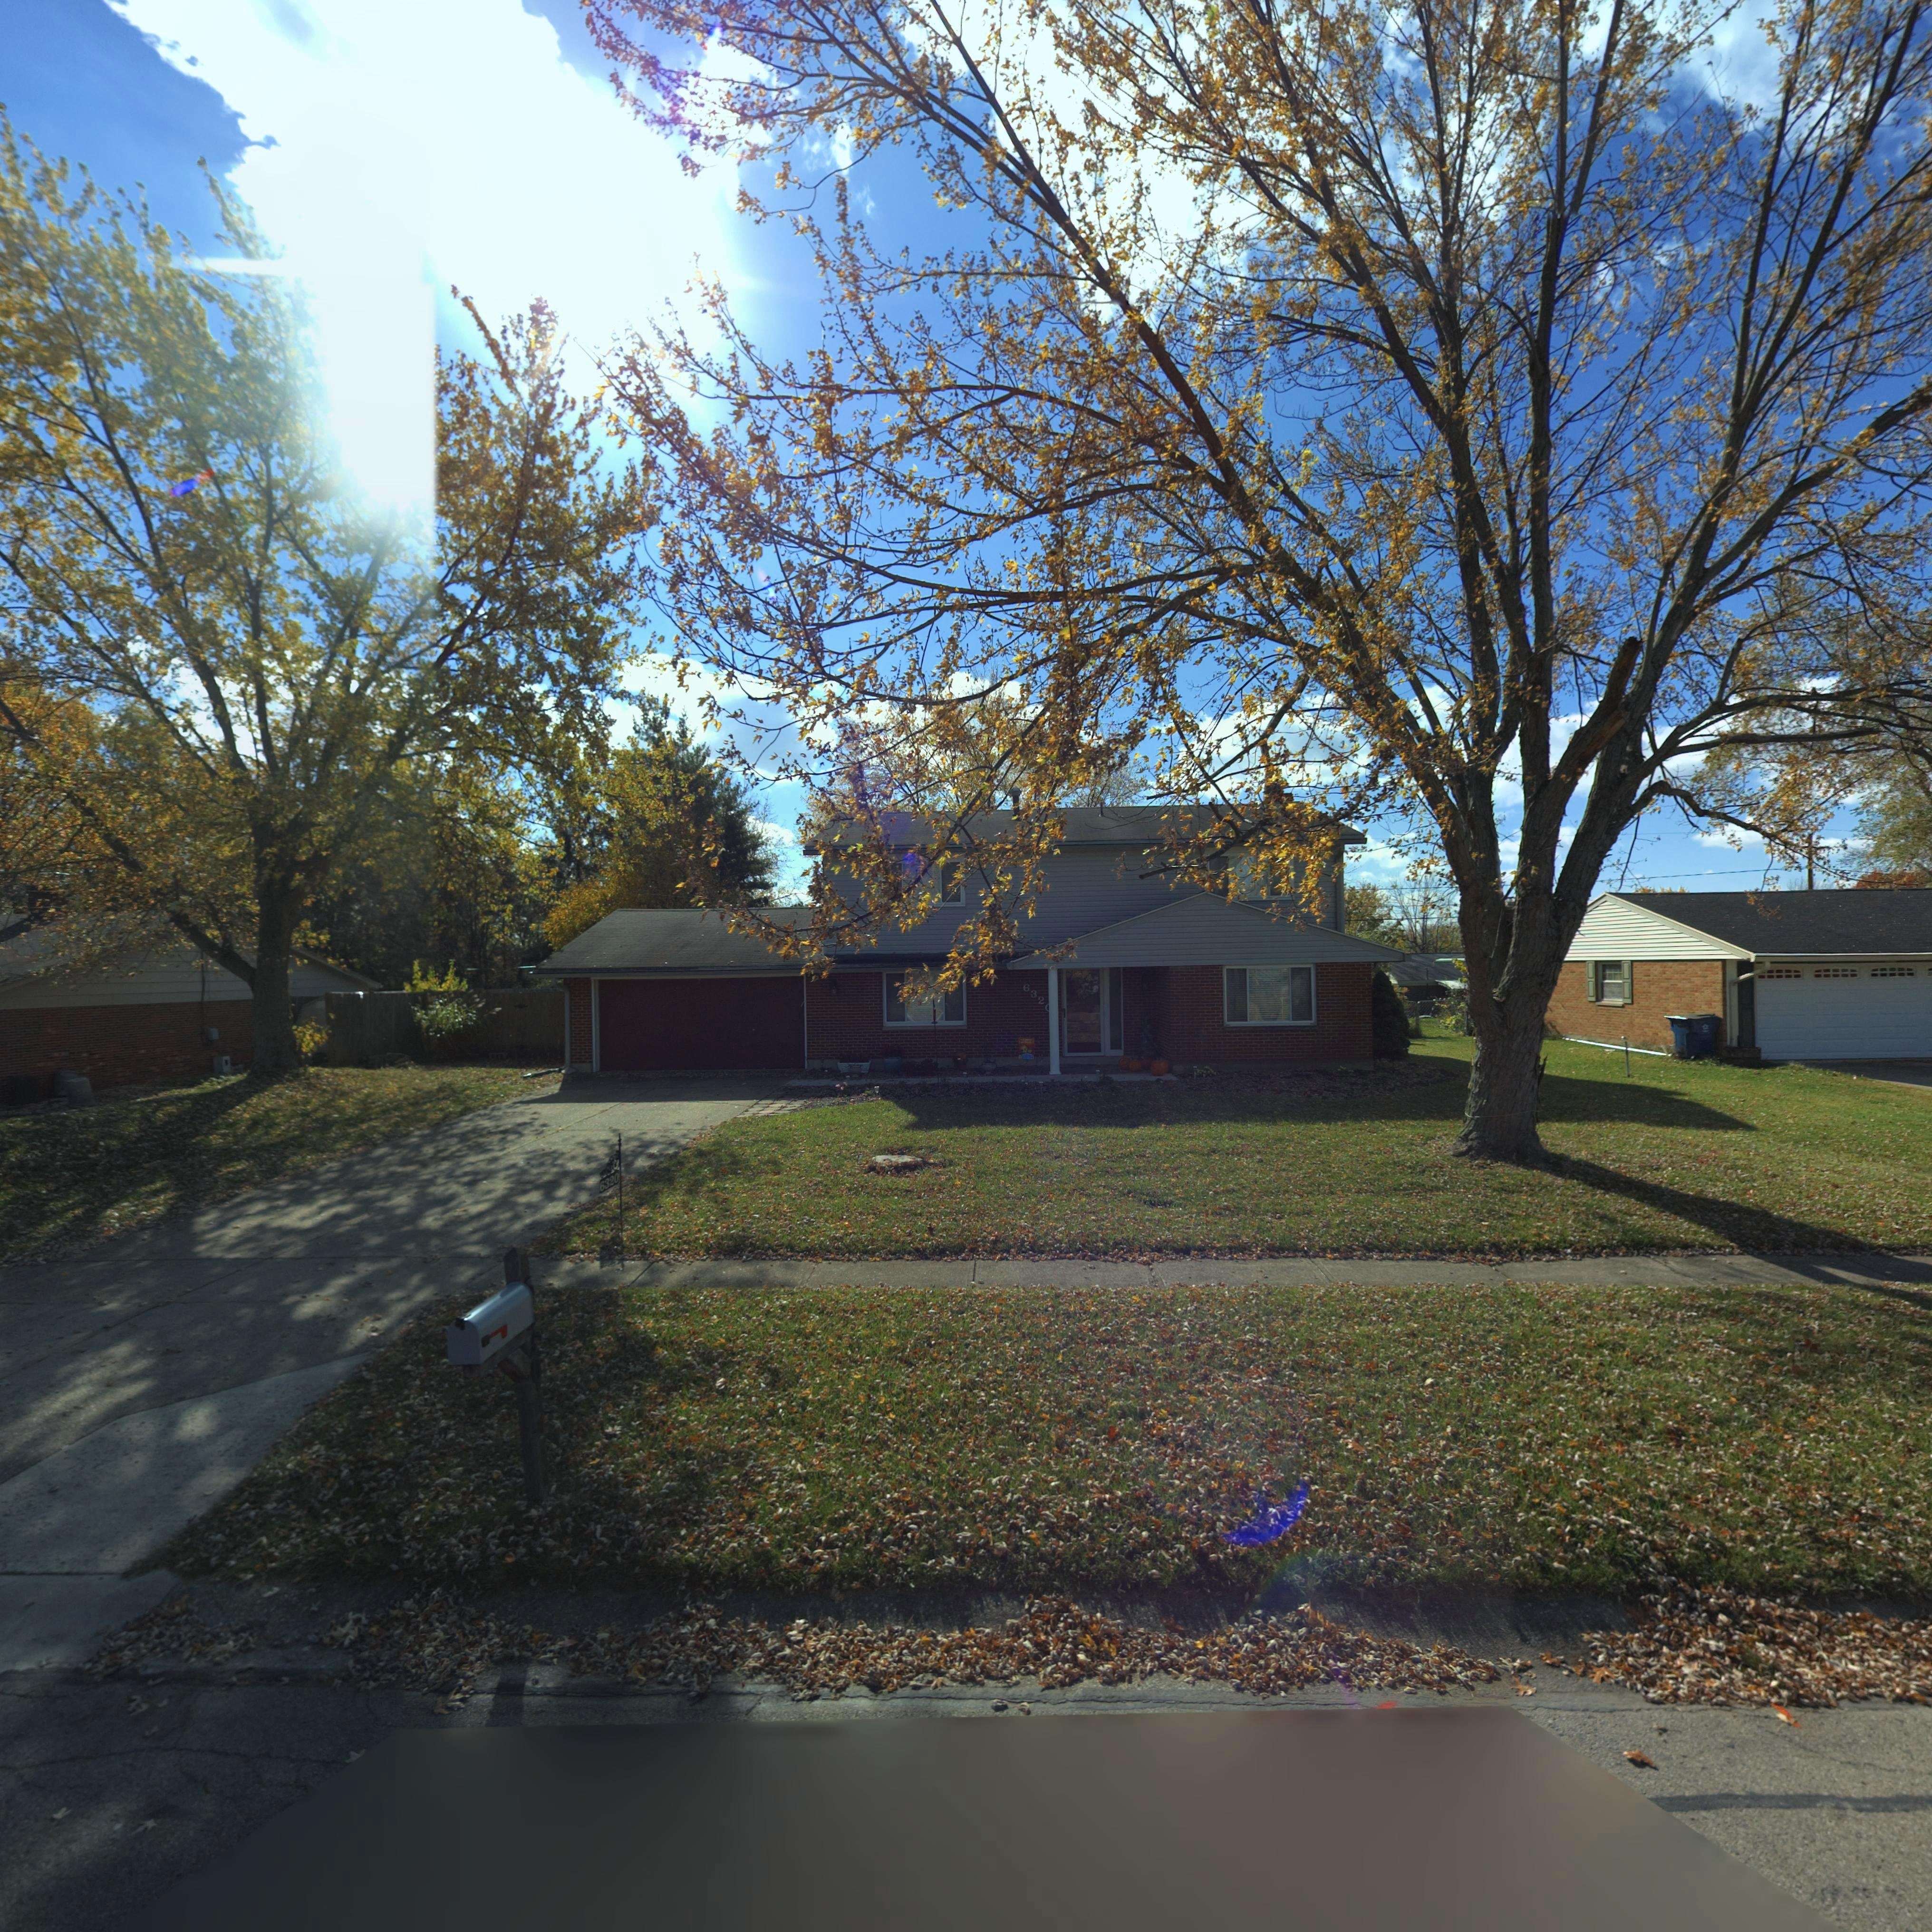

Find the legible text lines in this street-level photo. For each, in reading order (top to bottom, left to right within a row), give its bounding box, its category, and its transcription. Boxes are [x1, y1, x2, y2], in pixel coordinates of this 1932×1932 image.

[1022, 983, 1044, 1005] StreetNumber: 632
[599, 1172, 619, 1192] StreetNumber: 6320
[529, 1355, 542, 1385] StreetNumber: 0